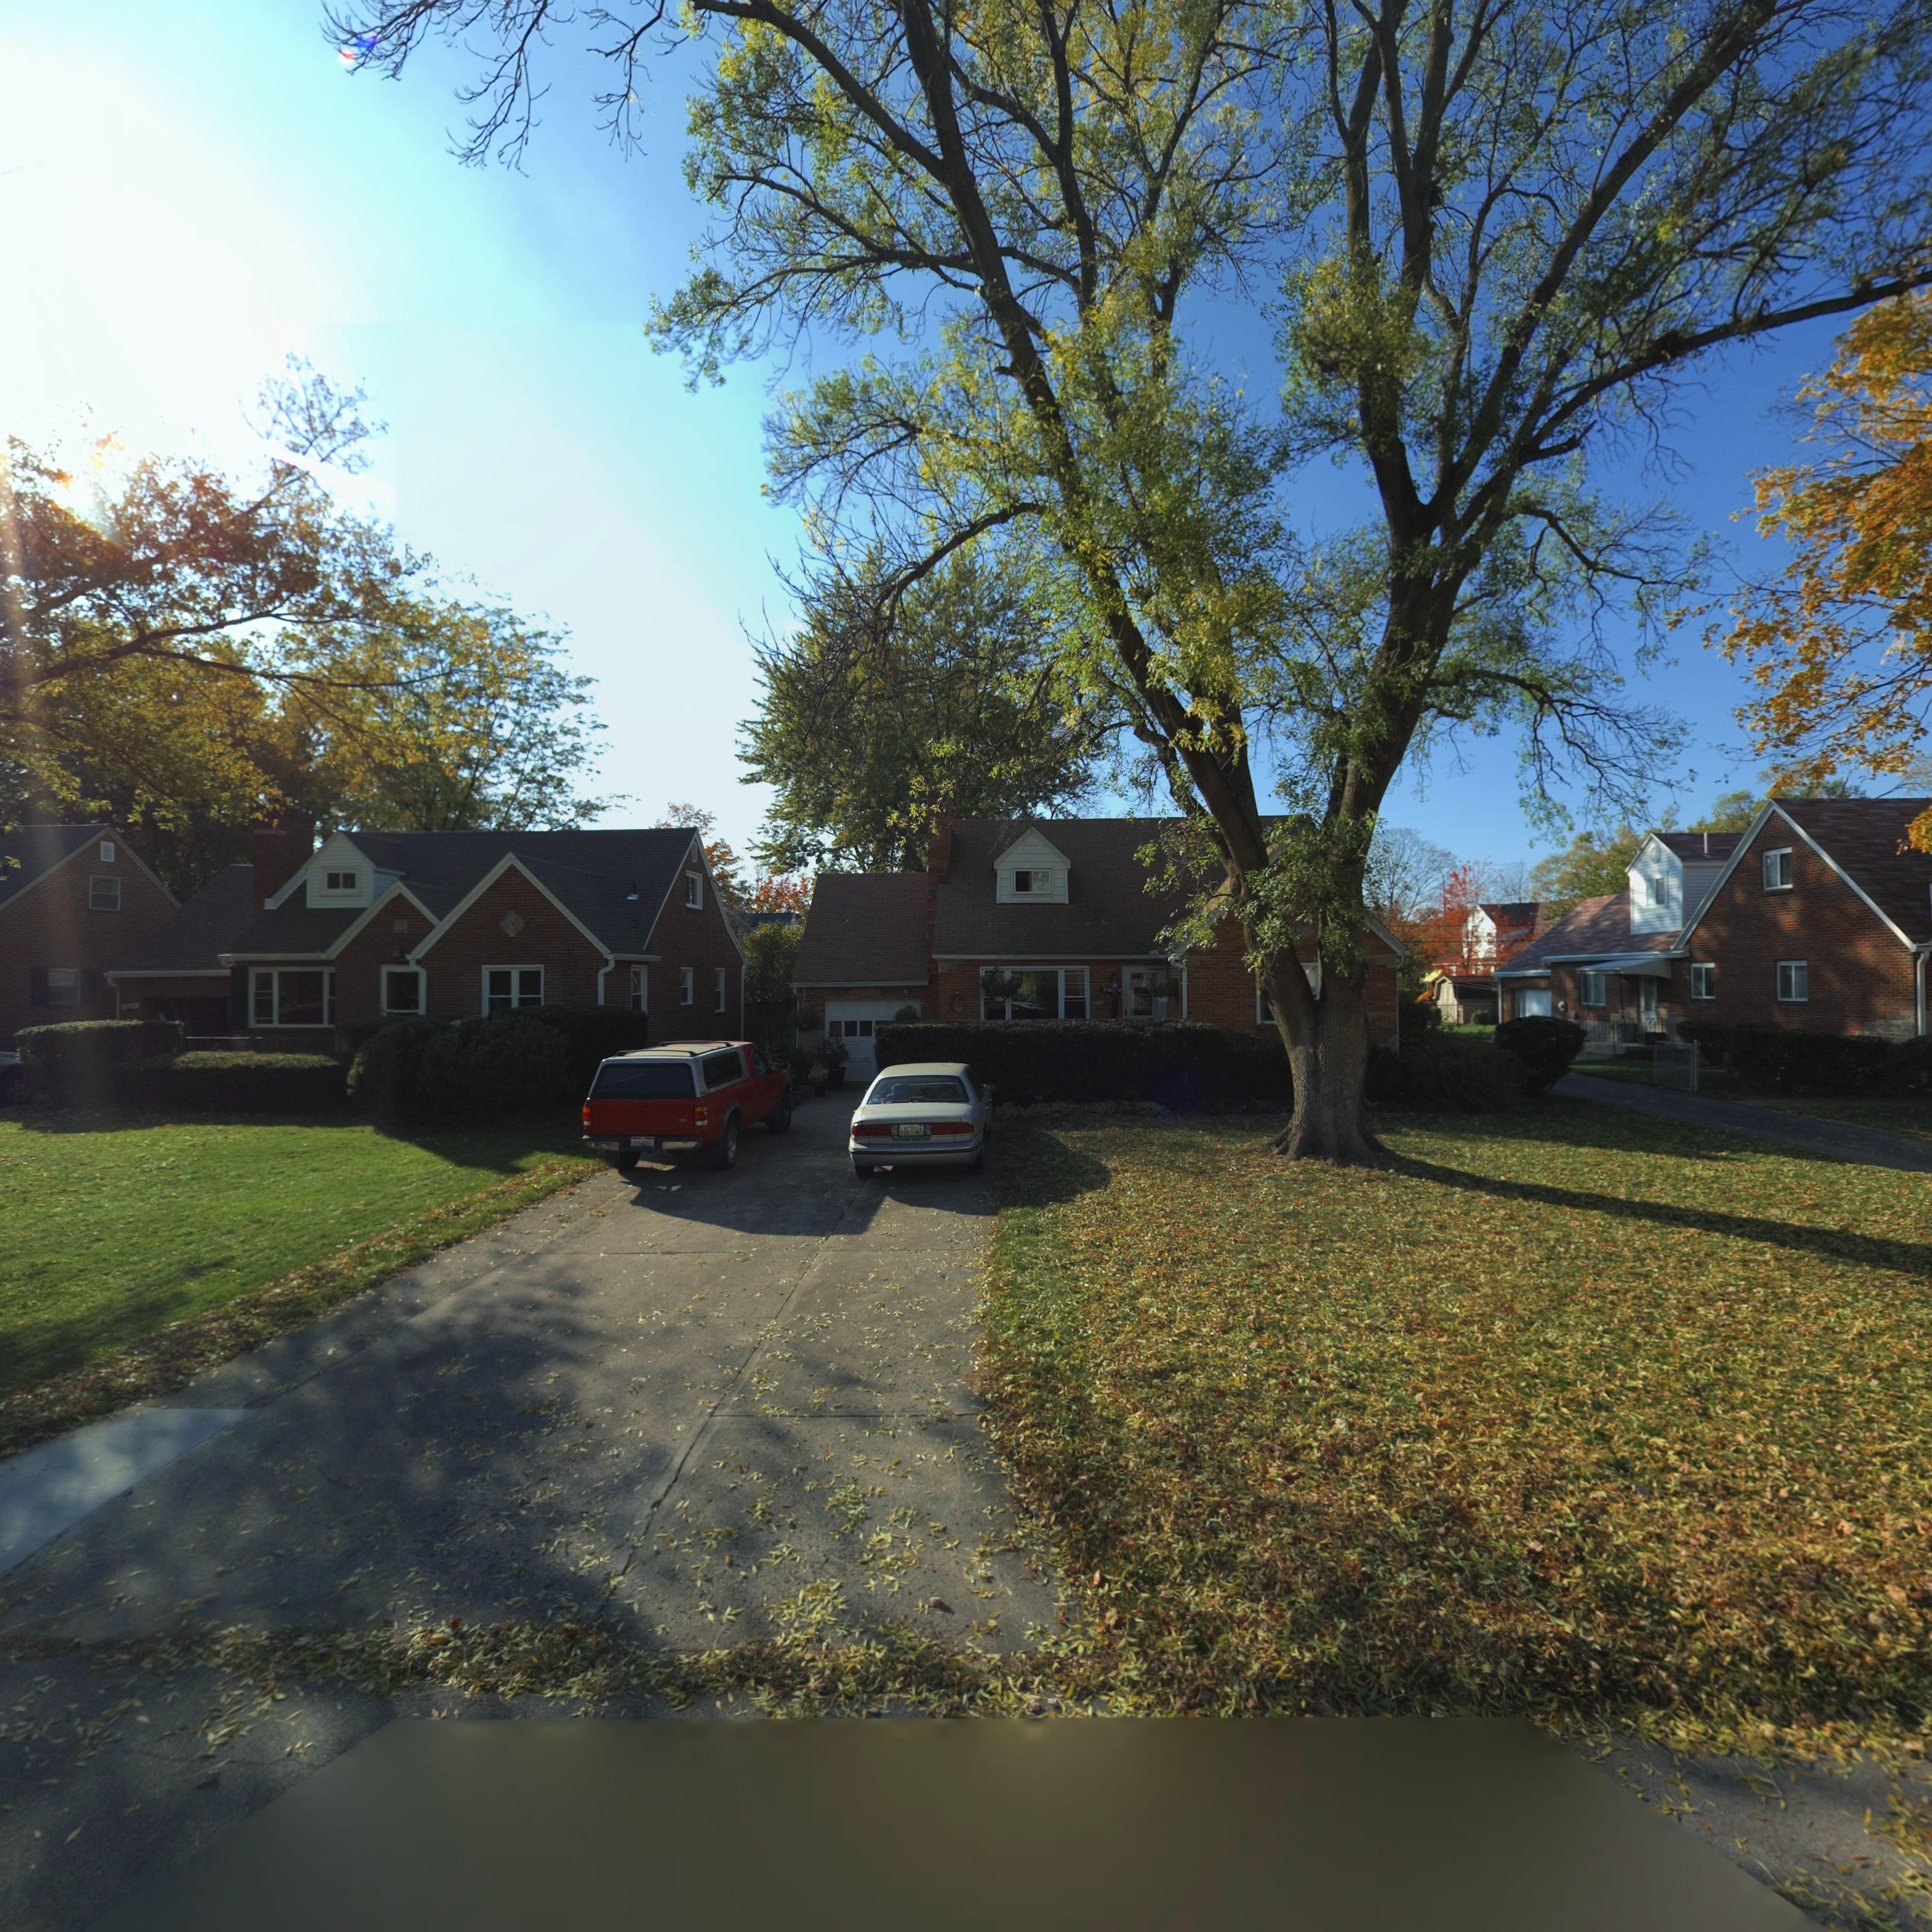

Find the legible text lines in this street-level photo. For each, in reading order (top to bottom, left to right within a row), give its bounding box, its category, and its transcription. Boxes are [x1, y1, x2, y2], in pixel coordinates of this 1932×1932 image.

[1101, 986, 1109, 992] StreetNumber: 32